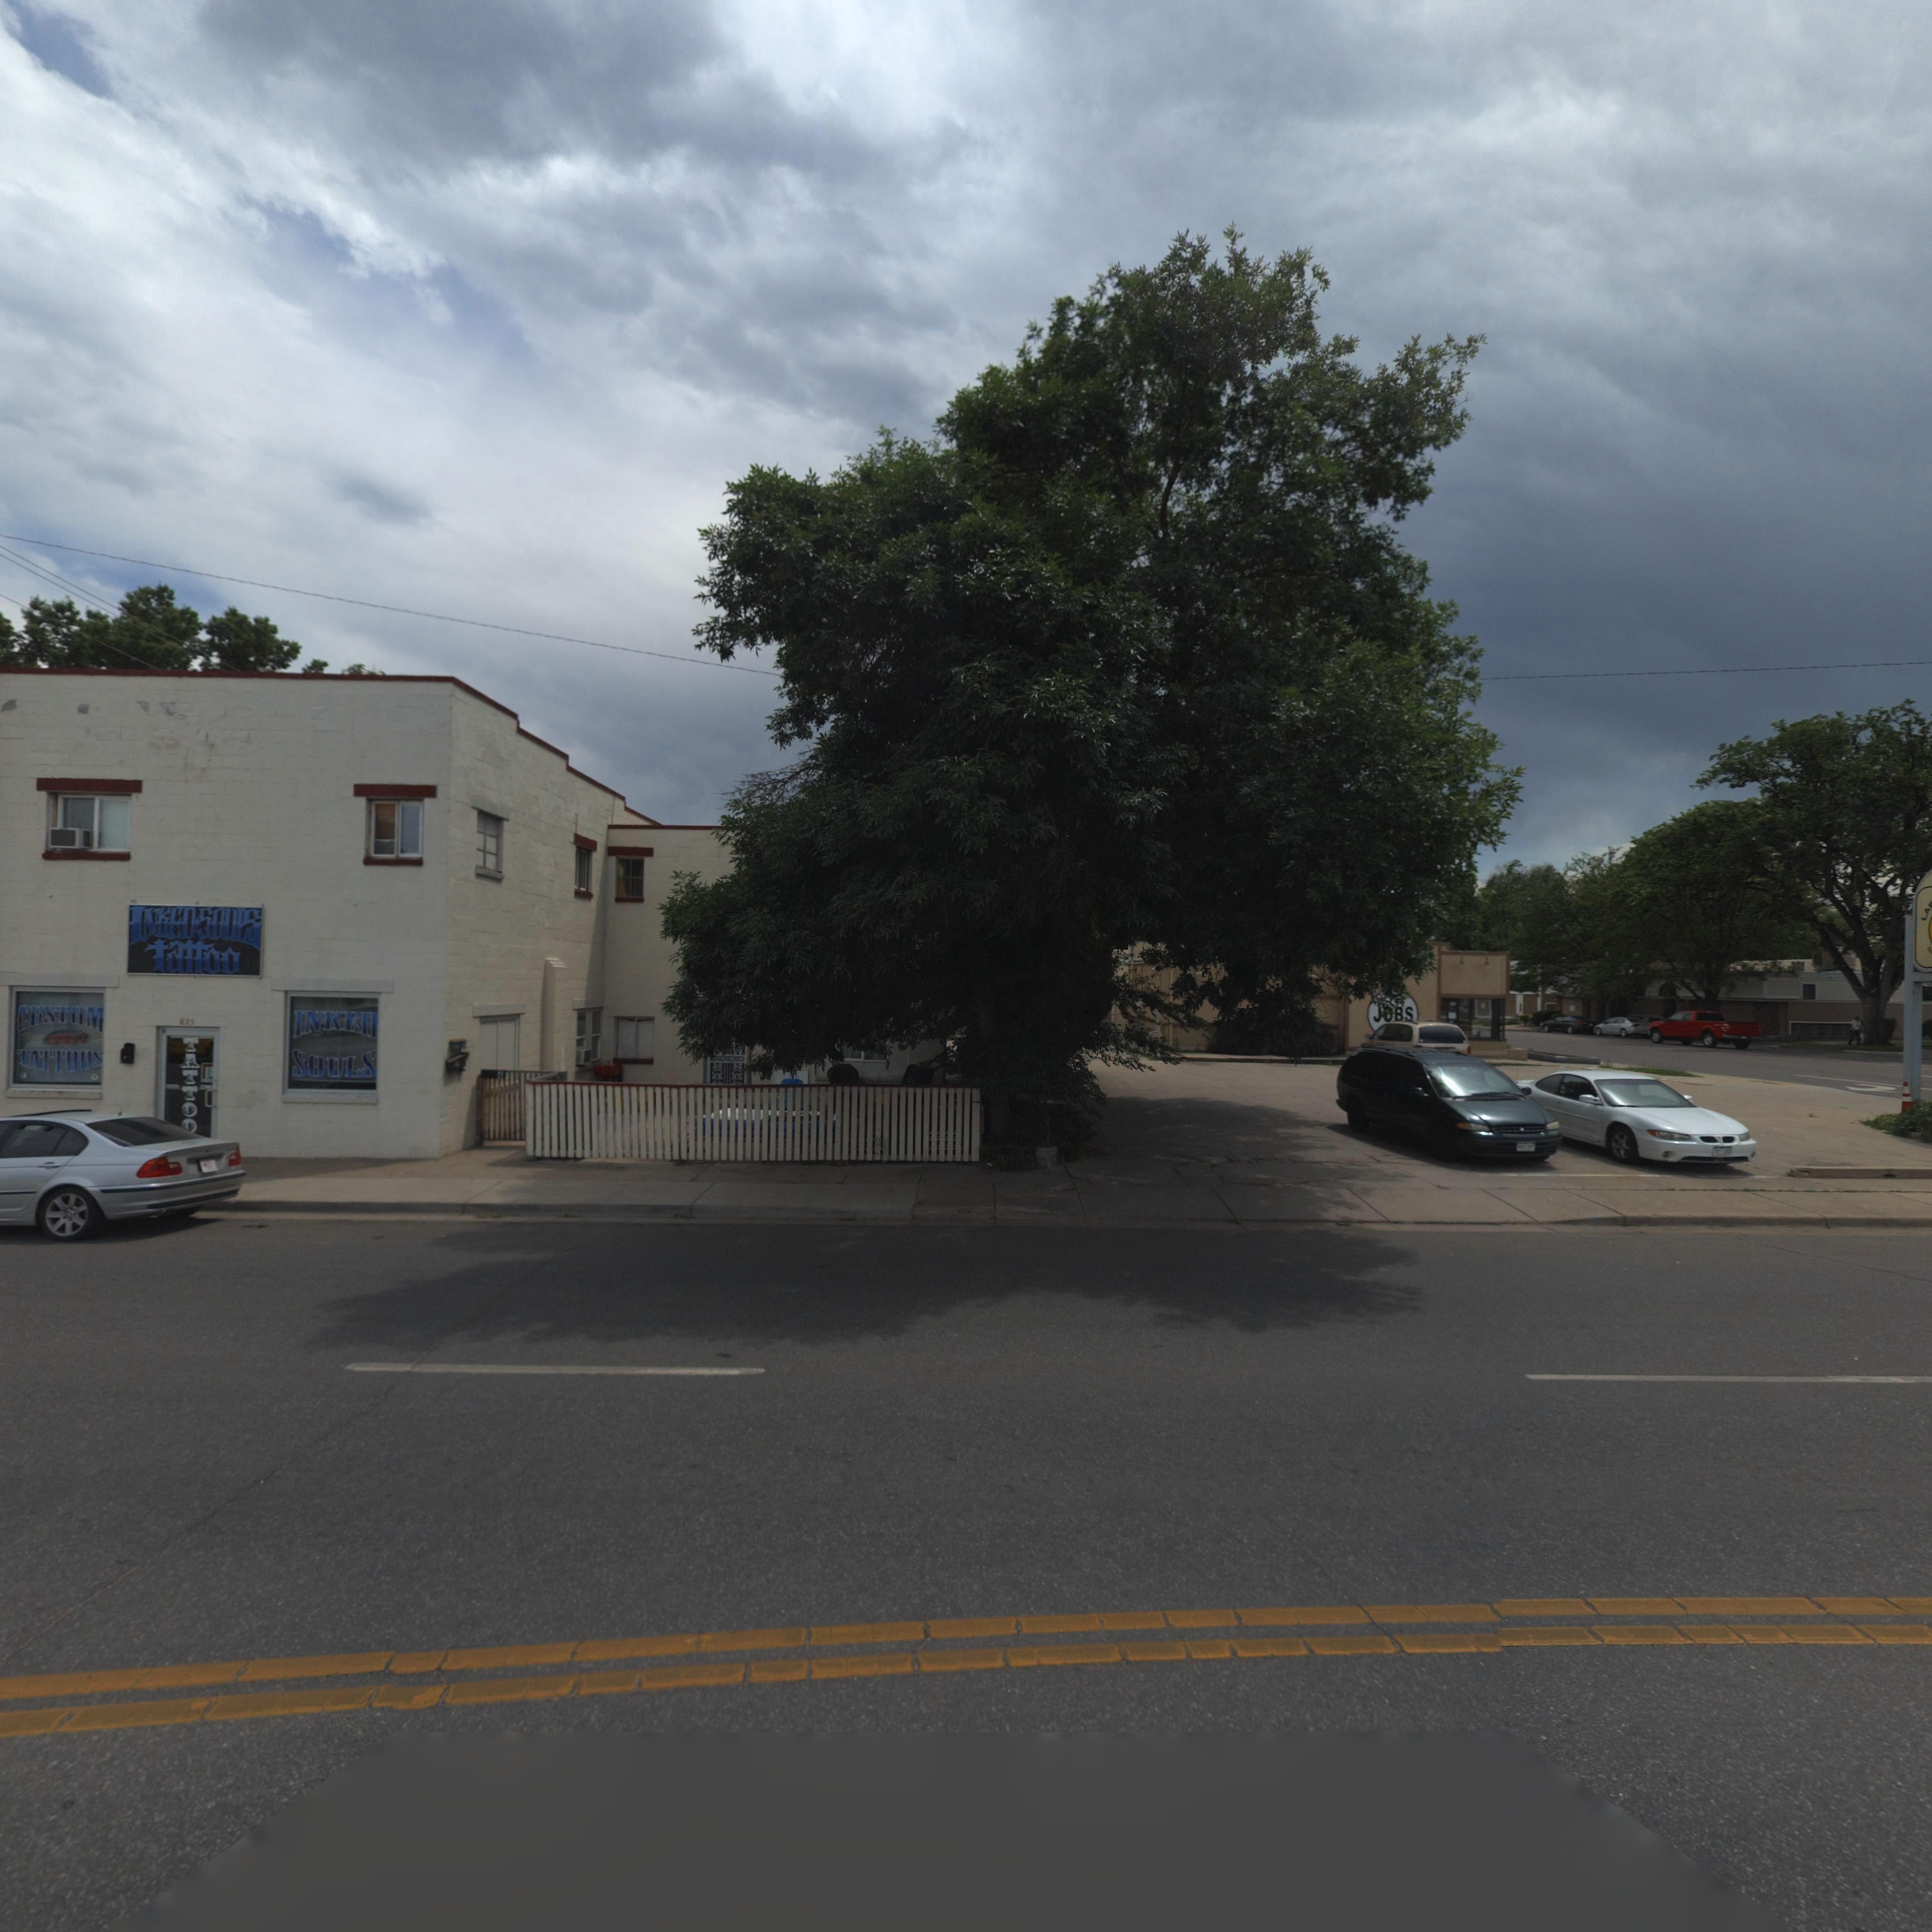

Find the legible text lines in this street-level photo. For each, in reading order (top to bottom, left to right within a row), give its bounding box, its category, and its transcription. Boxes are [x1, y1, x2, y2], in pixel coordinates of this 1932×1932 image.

[128, 905, 261, 952] BusinessName: INKED*SOULS
[144, 937, 241, 975] BusinessName: tattoo
[178, 1017, 194, 1025] StreetNumber: 625
[292, 1010, 377, 1039] BusinessName: INKED
[1373, 1005, 1413, 1022] BusinessName: **BS
[291, 1048, 377, 1078] BusinessName: SOULS
[497, 1070, 502, 1080] StreetNumber: 4